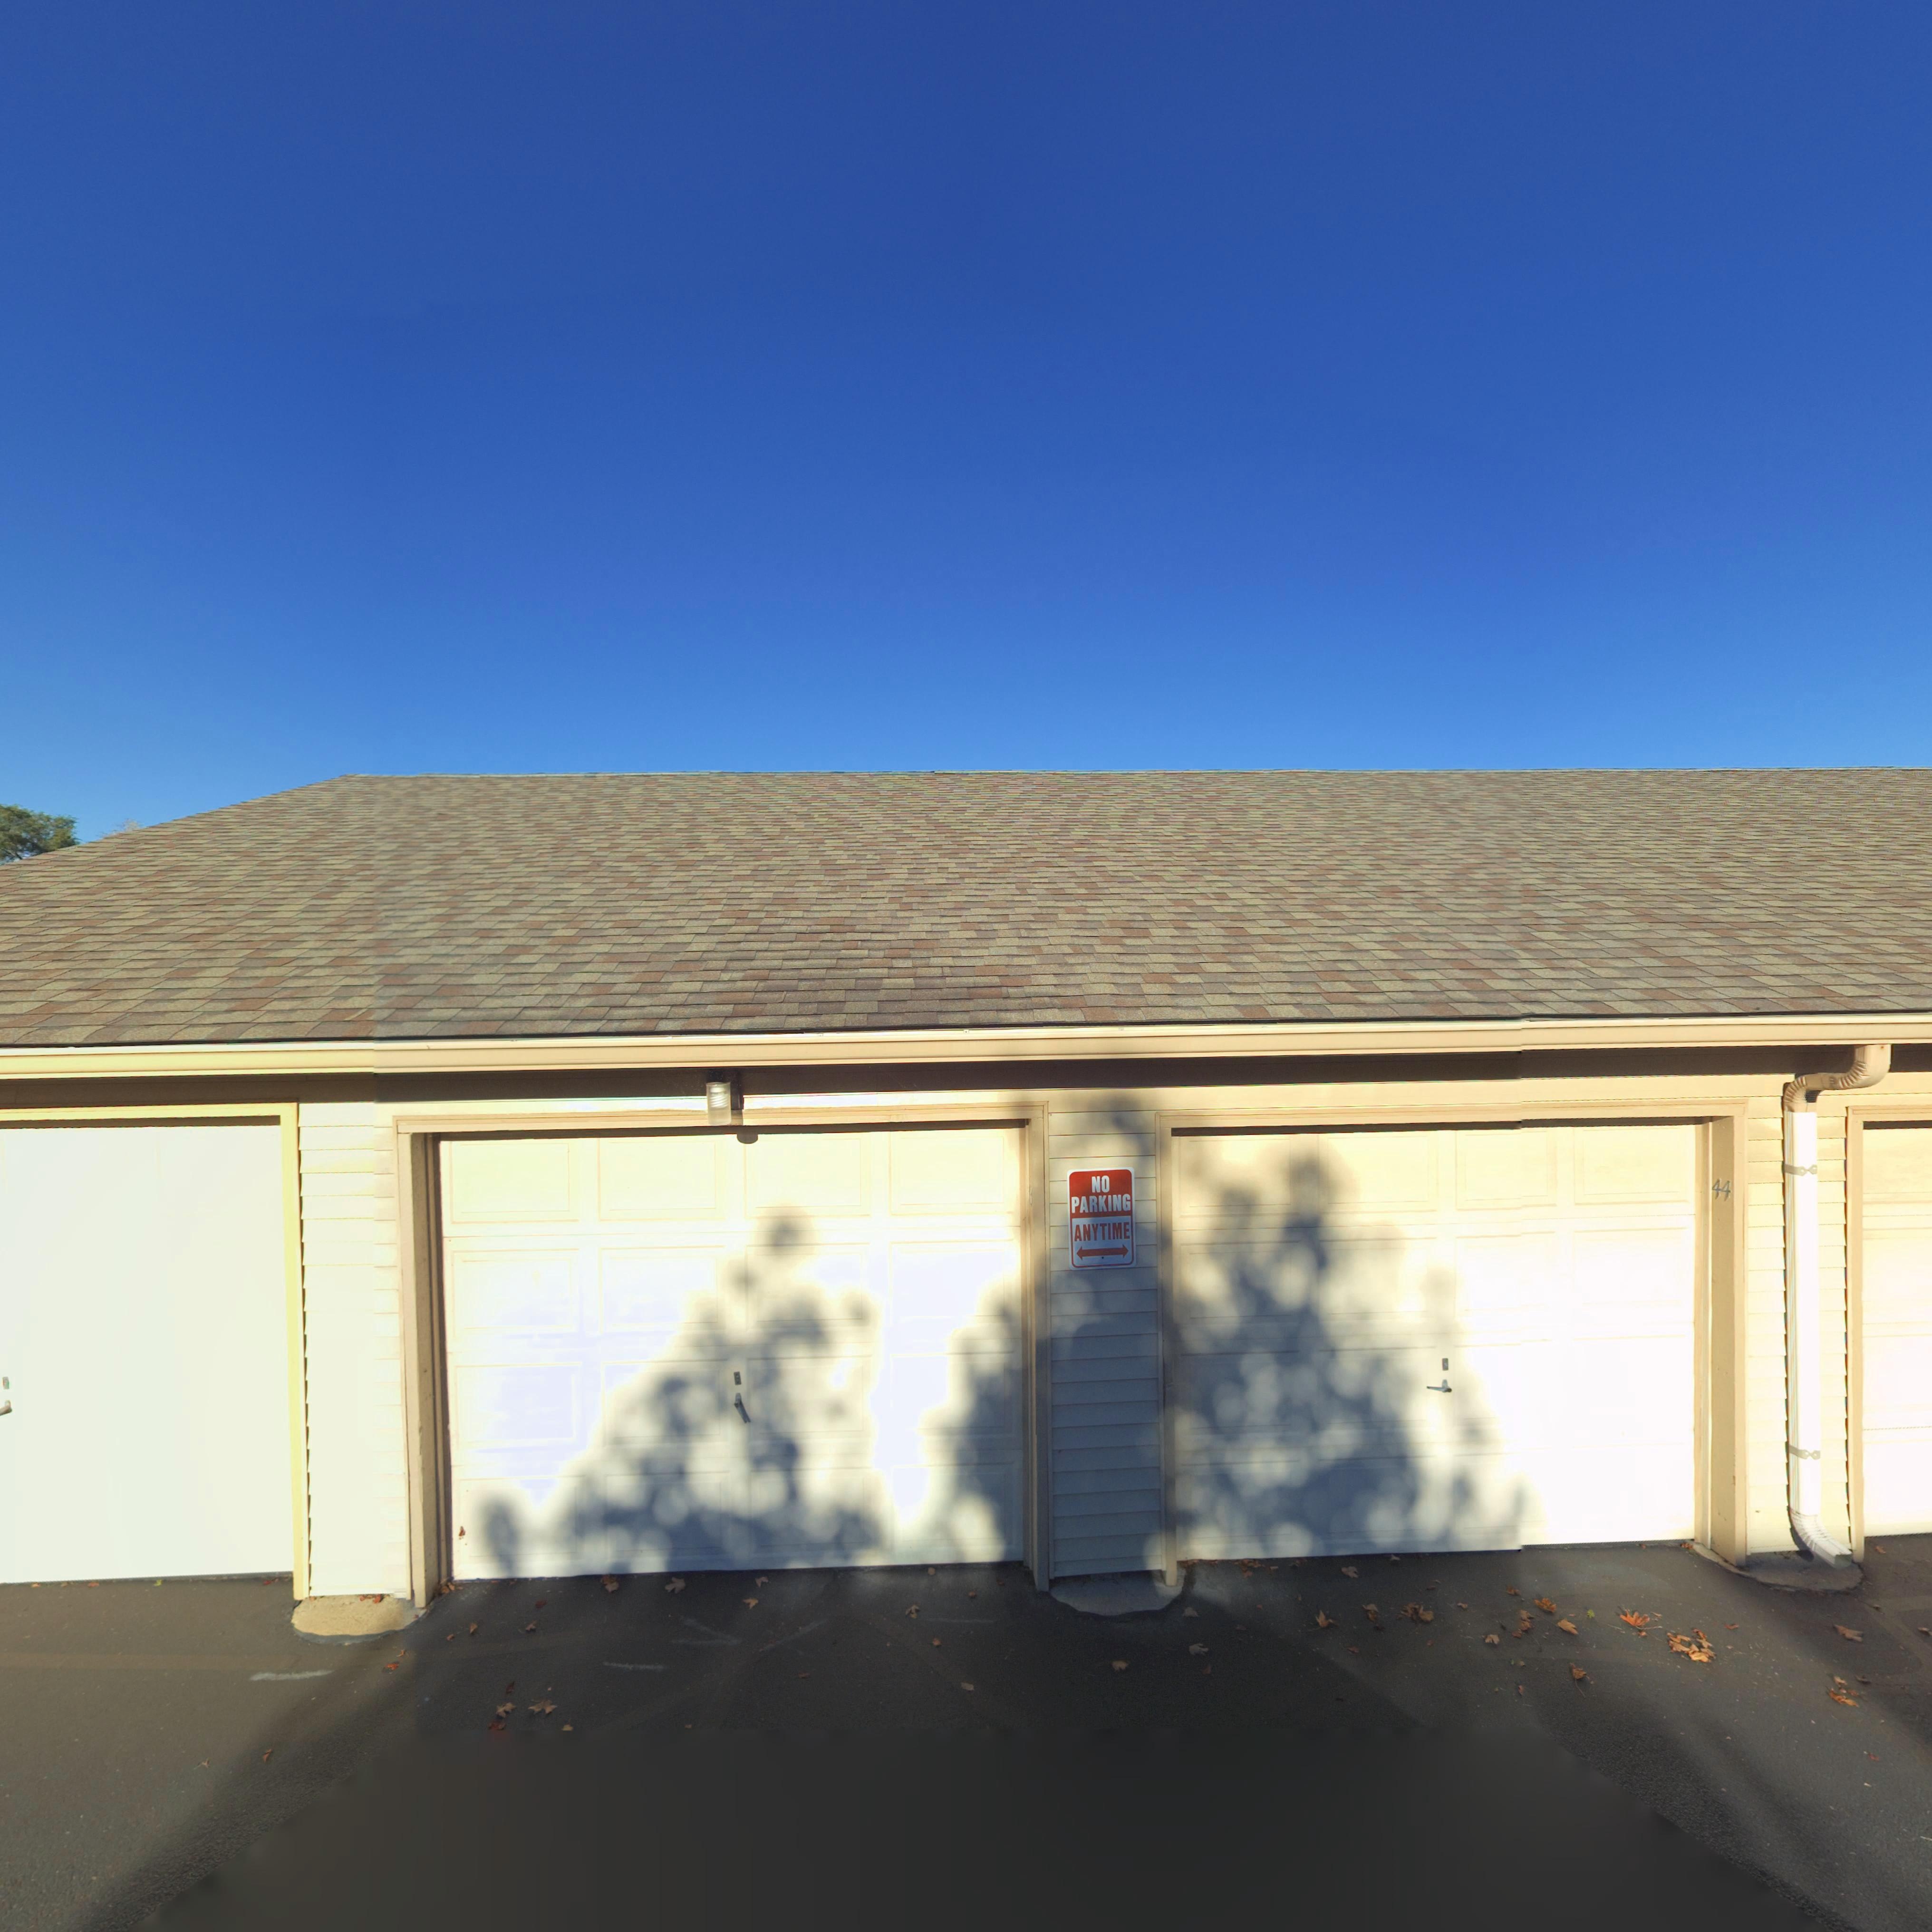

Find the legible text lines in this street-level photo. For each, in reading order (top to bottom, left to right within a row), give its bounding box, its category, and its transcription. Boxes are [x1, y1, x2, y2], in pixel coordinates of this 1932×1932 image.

[1711, 1177, 1733, 1202] StreetNumber: 44